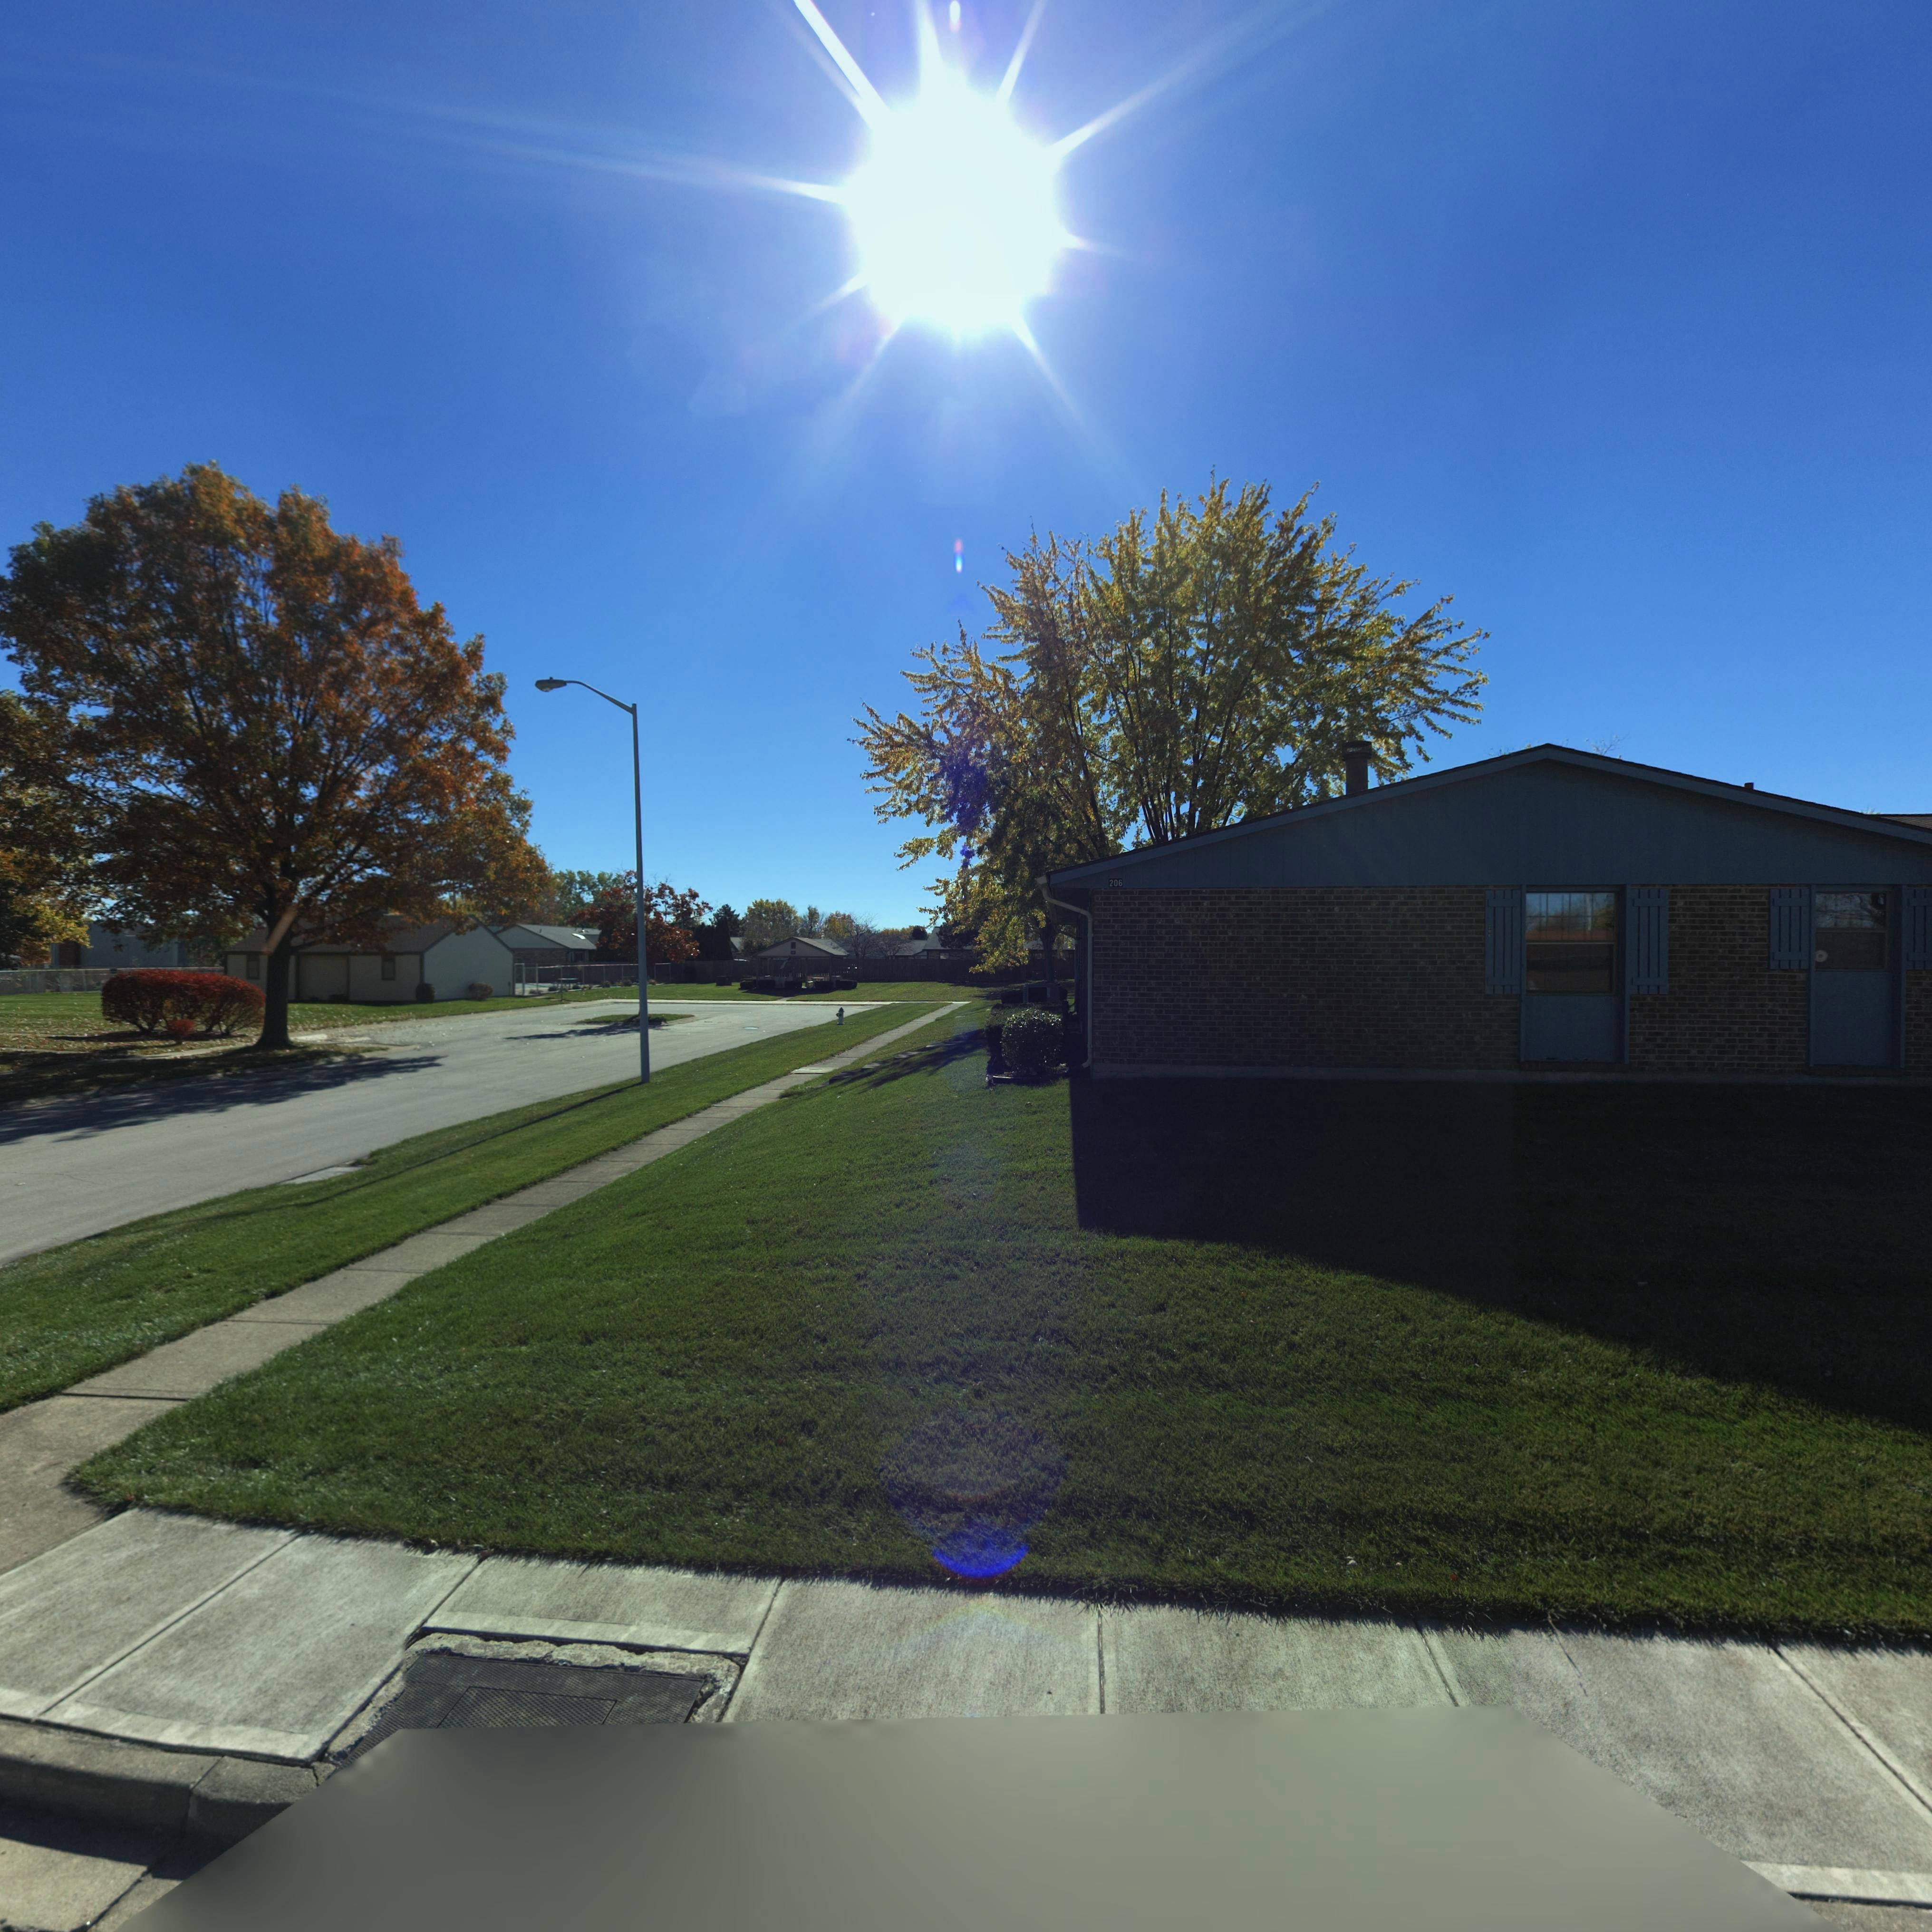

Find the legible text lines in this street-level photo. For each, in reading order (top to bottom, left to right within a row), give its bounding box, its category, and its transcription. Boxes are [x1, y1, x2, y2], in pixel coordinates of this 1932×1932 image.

[1109, 879, 1123, 887] StreetNumber: 206